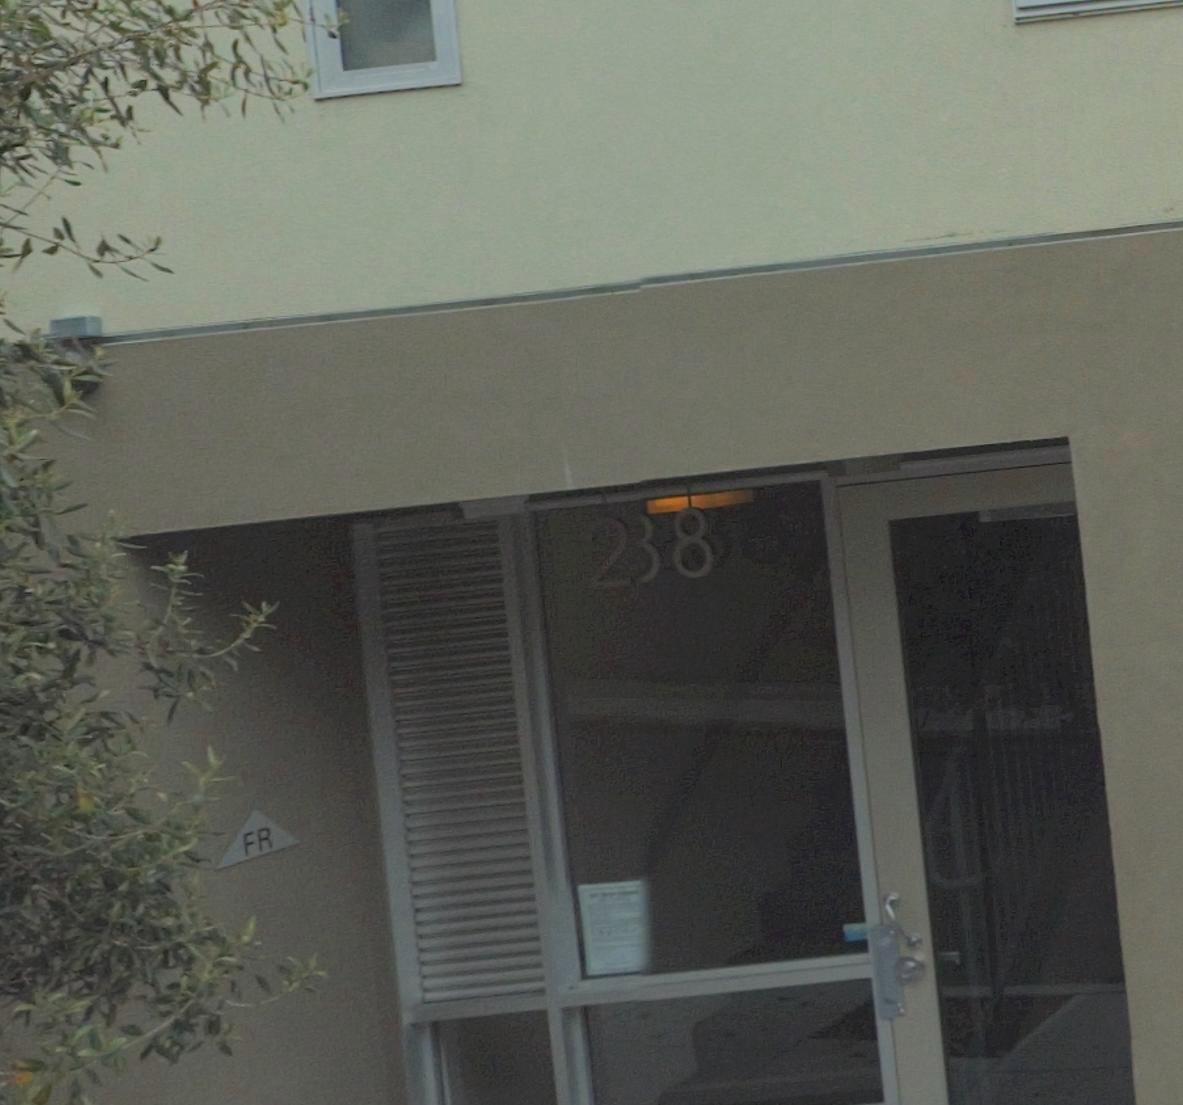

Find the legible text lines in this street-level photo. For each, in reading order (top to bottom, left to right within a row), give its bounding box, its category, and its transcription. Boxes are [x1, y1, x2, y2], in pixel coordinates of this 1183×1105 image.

[583, 504, 721, 594] StreetNumber: 238
[241, 824, 275, 859] None: FR